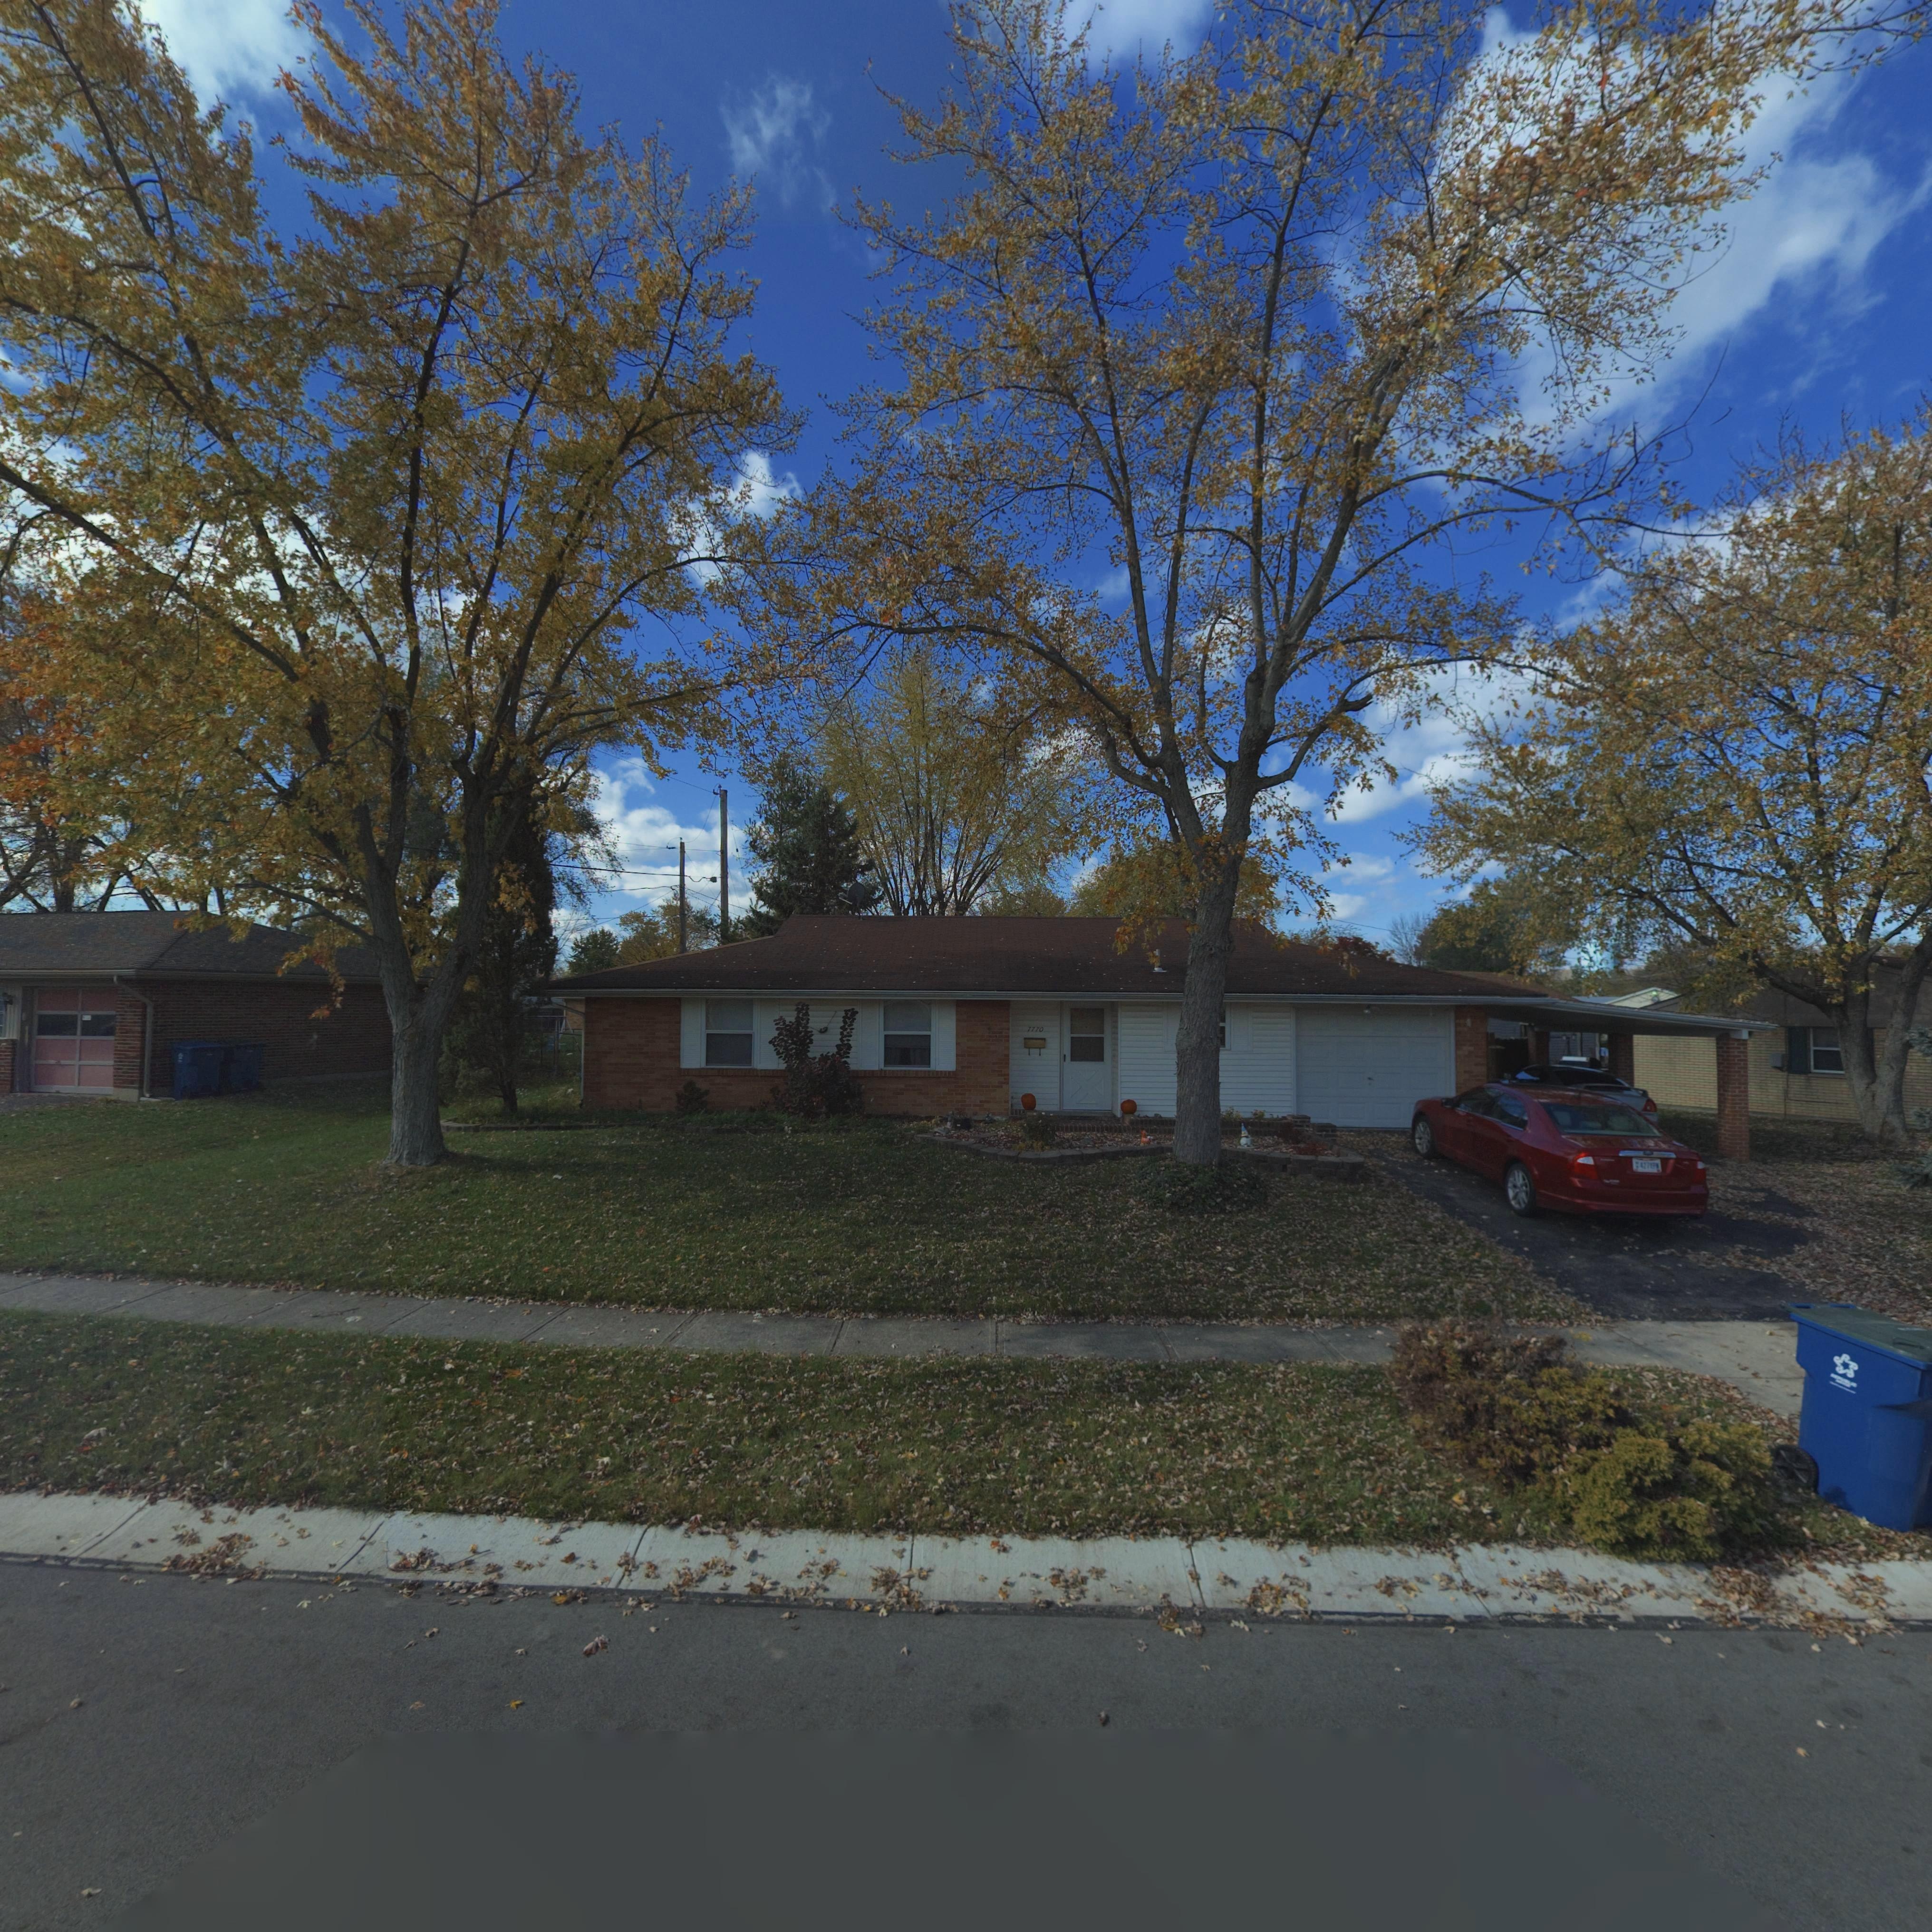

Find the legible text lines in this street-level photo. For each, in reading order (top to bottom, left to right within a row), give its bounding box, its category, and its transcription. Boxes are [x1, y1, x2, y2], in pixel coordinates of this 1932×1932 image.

[1027, 1026, 1043, 1032] StreetNumber: 7770